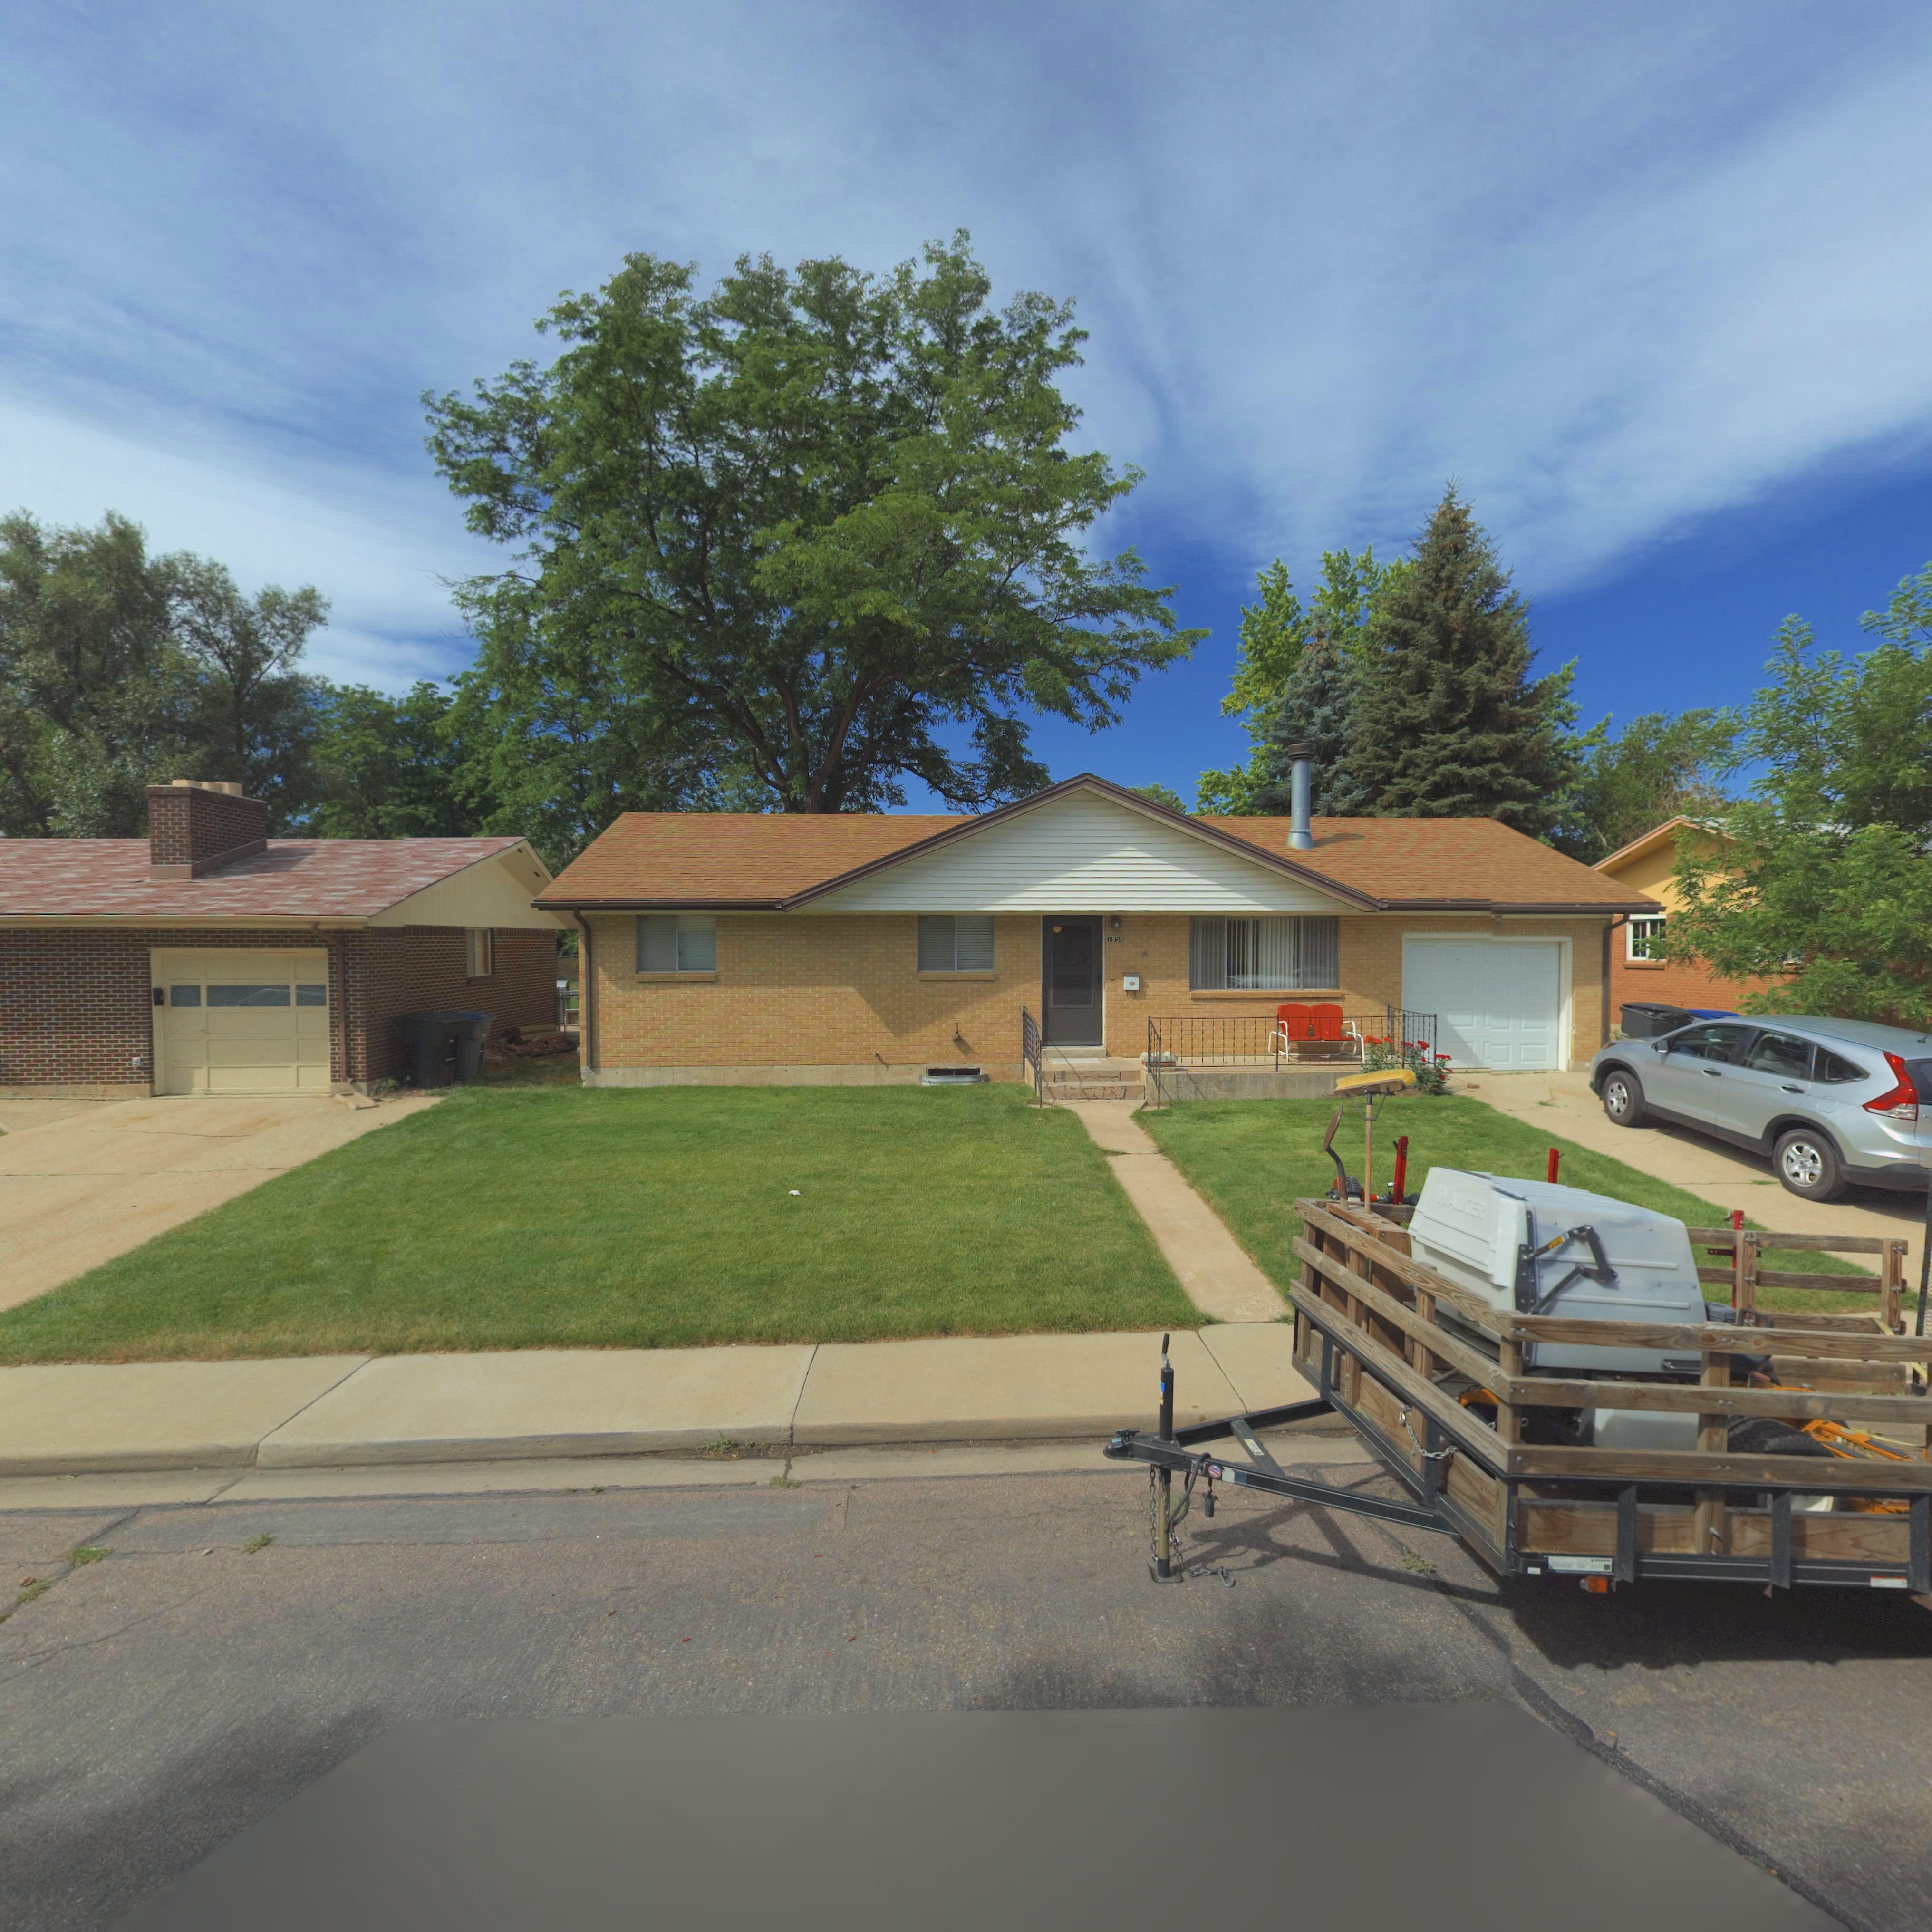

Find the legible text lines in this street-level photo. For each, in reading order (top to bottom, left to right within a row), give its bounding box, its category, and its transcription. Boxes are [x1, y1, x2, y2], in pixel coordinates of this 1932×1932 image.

[1108, 936, 1123, 942] StreetNumber: 1859